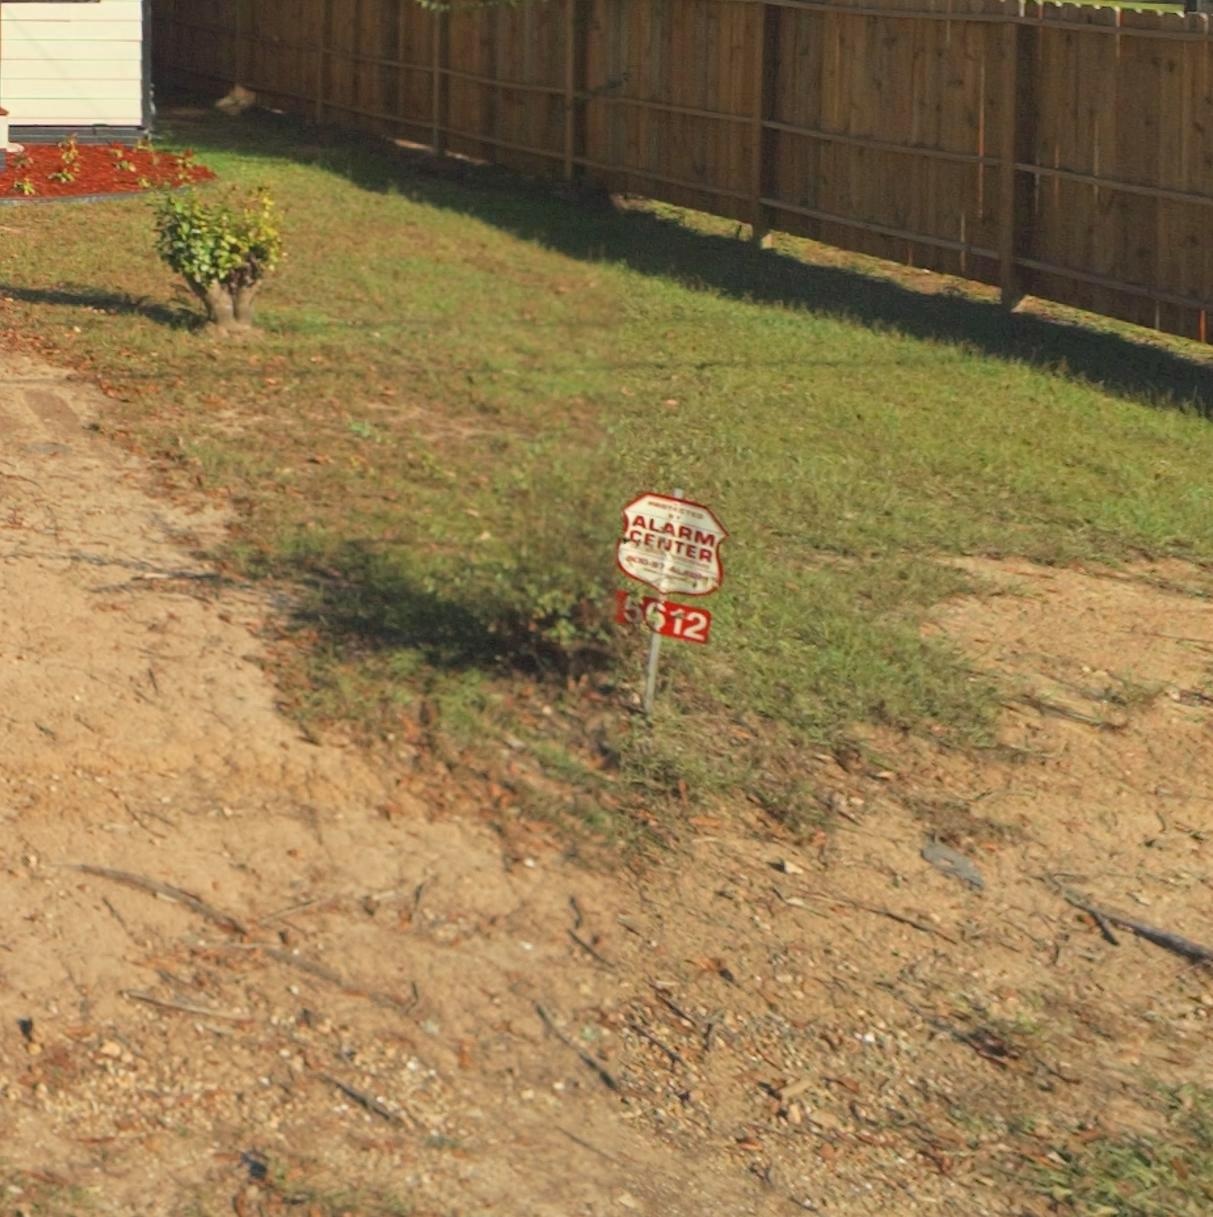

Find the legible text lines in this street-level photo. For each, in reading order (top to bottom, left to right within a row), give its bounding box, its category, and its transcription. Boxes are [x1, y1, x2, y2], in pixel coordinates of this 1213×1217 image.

[629, 528, 713, 564] None: CENTER
[631, 513, 716, 548] None: ALARM
[621, 592, 709, 642] StreetNumber: 5*12